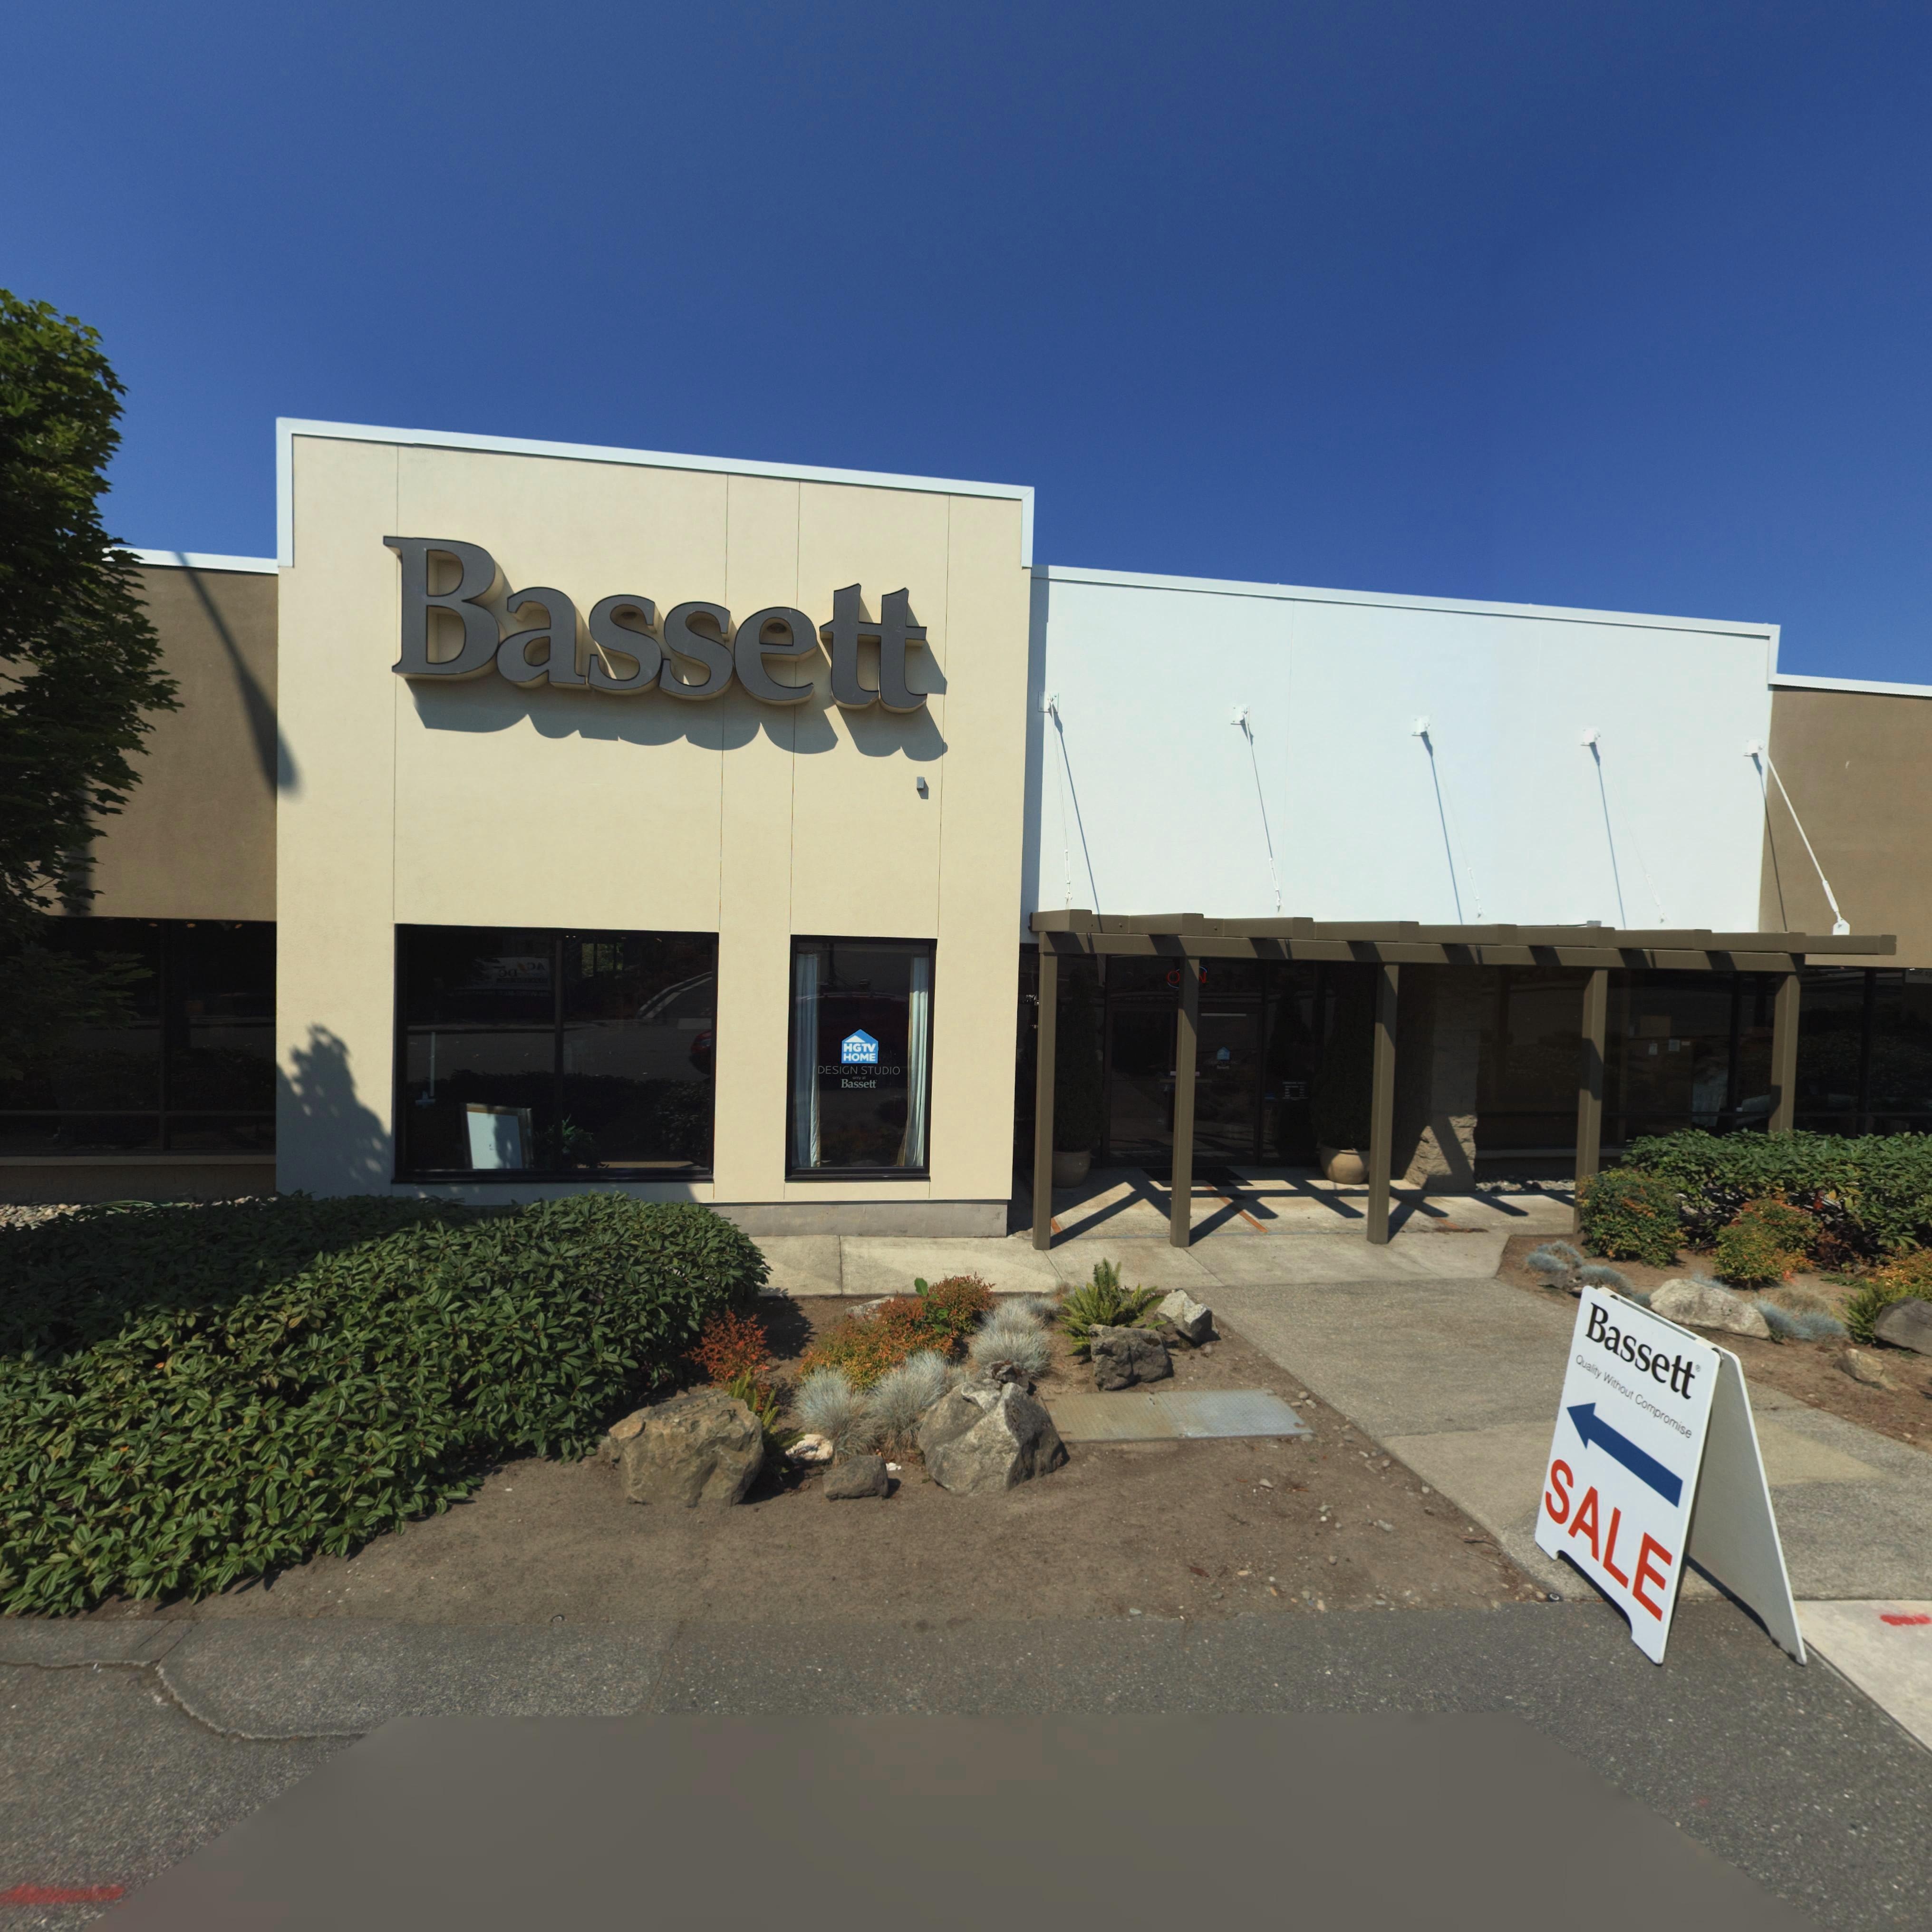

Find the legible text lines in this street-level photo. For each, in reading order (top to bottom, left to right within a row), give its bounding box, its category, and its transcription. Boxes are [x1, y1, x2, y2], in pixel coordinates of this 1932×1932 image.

[377, 531, 942, 722] BusinessName: Bassett
[843, 1043, 877, 1053] BusinessName: HGTV
[843, 1053, 876, 1062] BusinessName: HOME
[841, 1078, 876, 1088] BusinessName: Bassett
[1583, 1295, 1704, 1409] BusinessName: Bassett